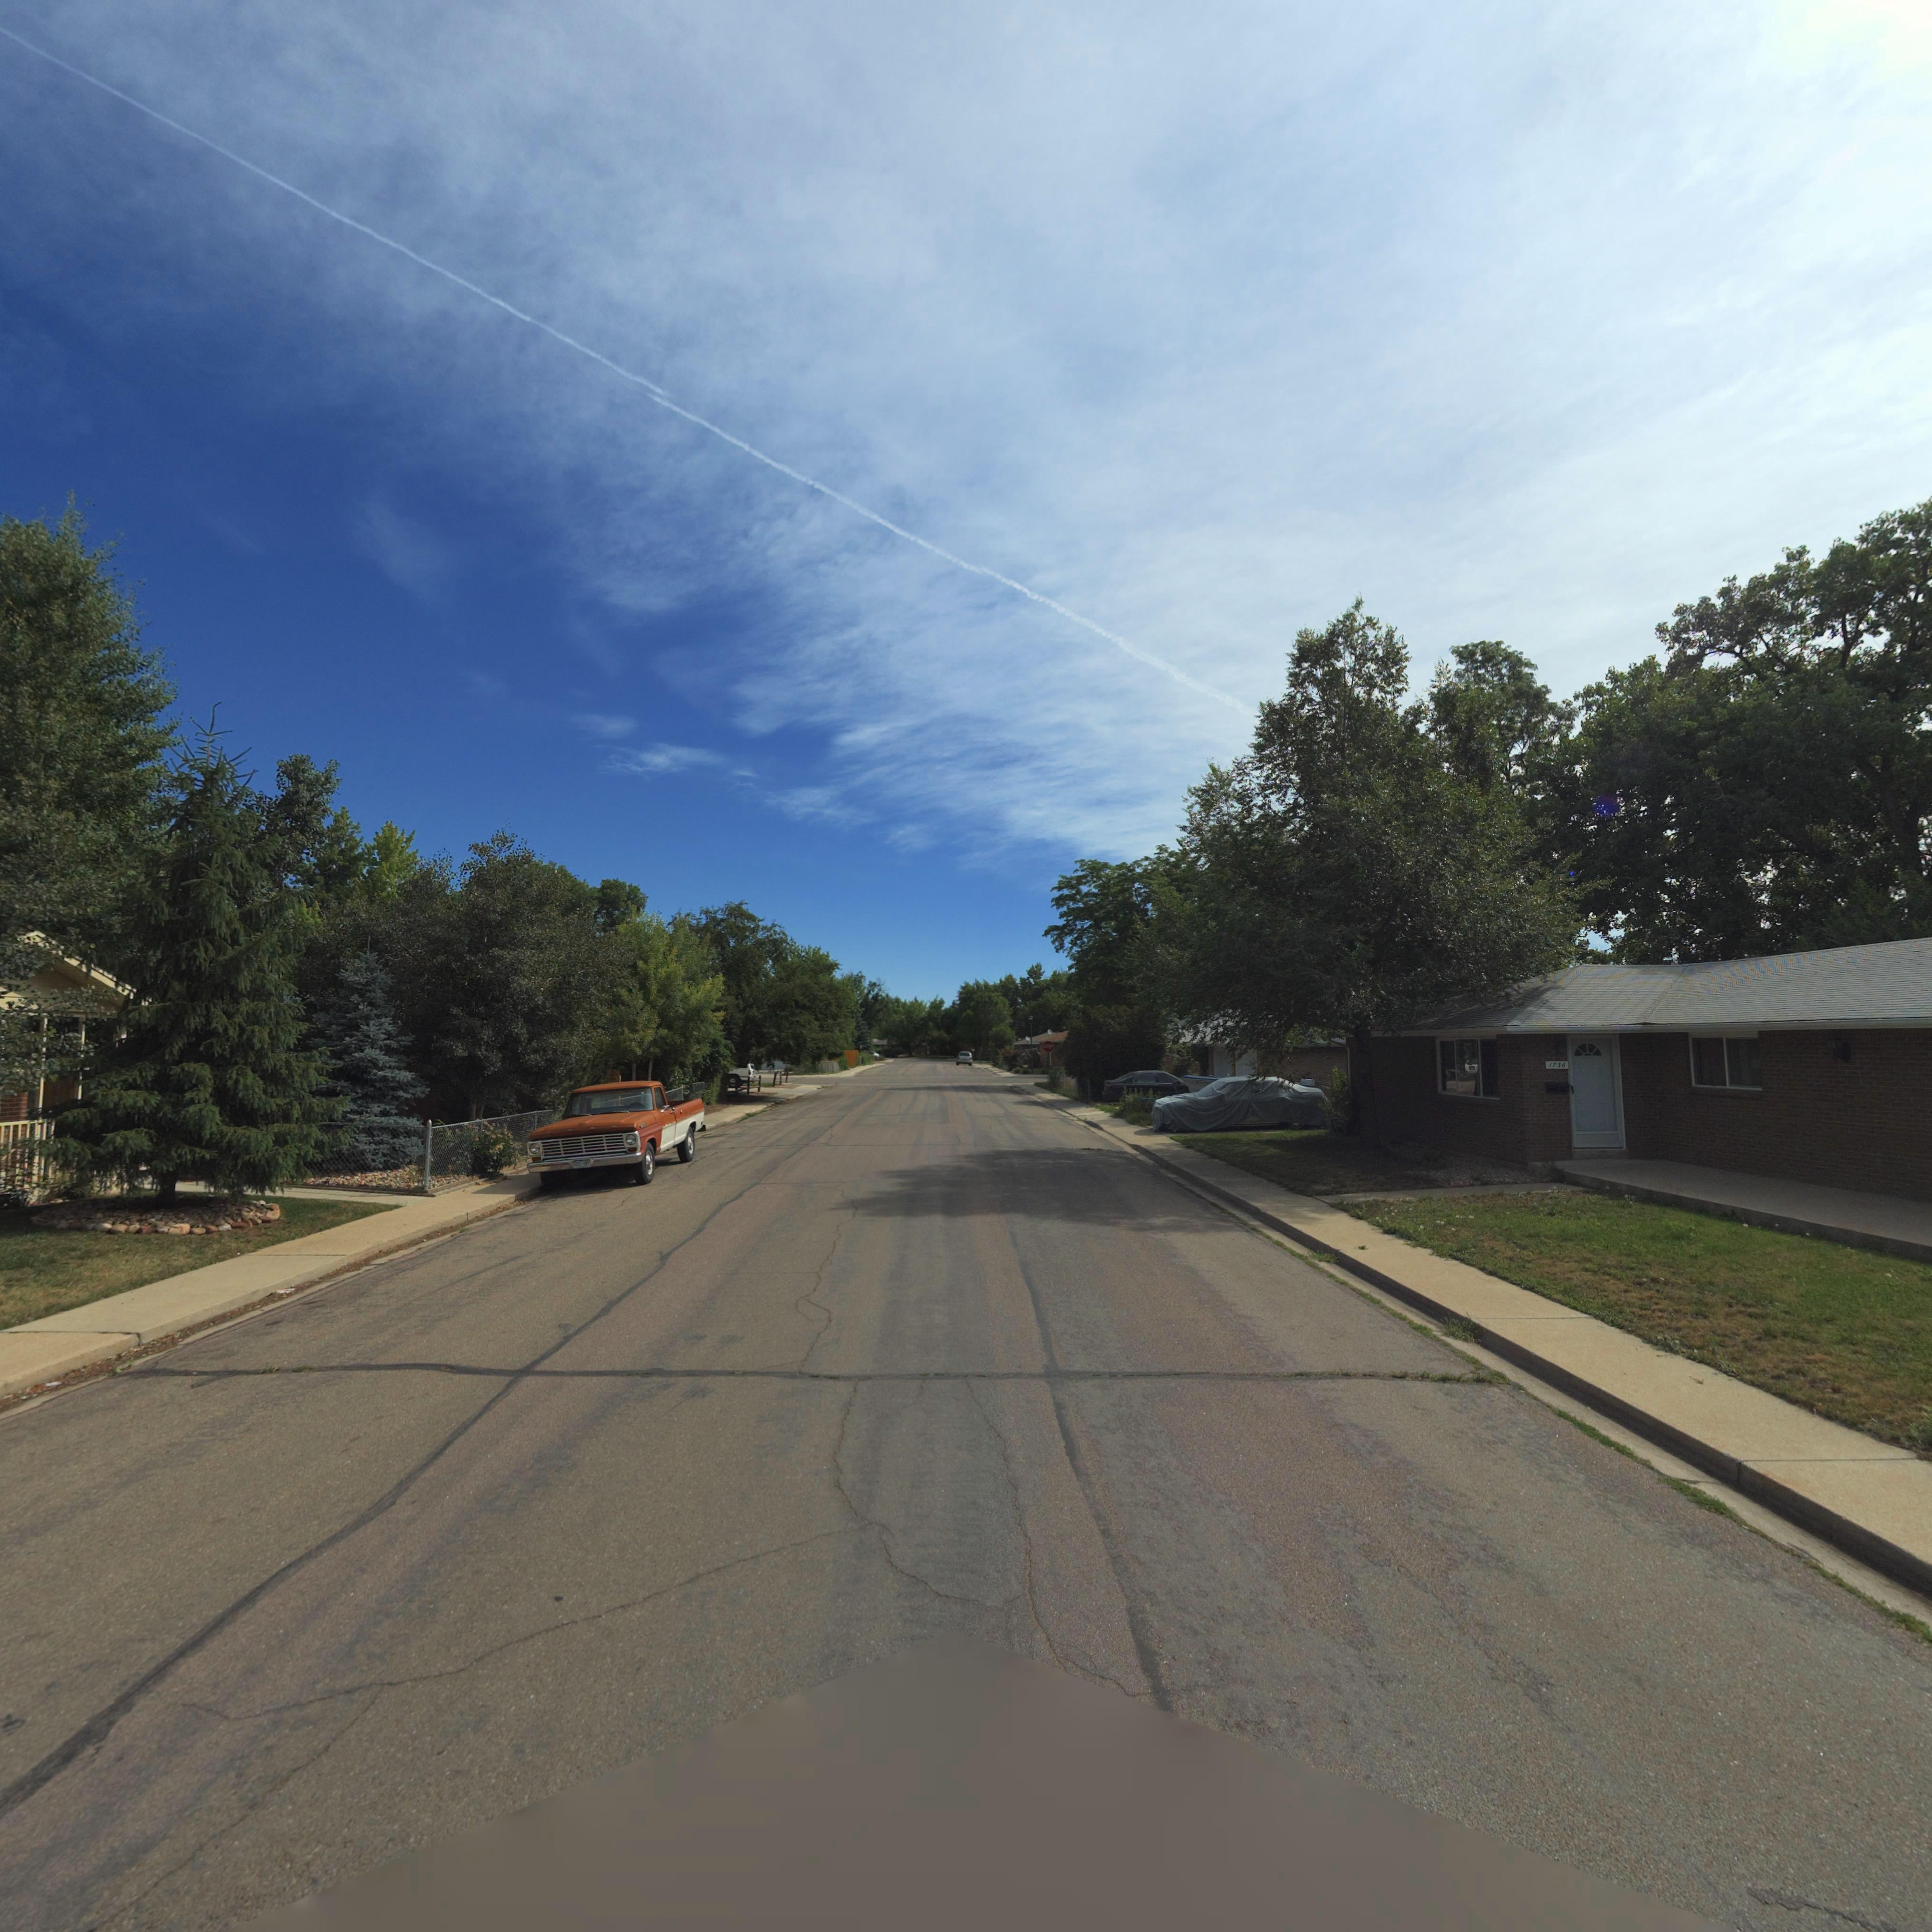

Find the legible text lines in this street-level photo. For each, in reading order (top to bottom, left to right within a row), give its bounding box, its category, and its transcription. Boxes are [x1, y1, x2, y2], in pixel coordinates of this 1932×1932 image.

[1548, 1061, 1566, 1068] StreetNumber: 1736